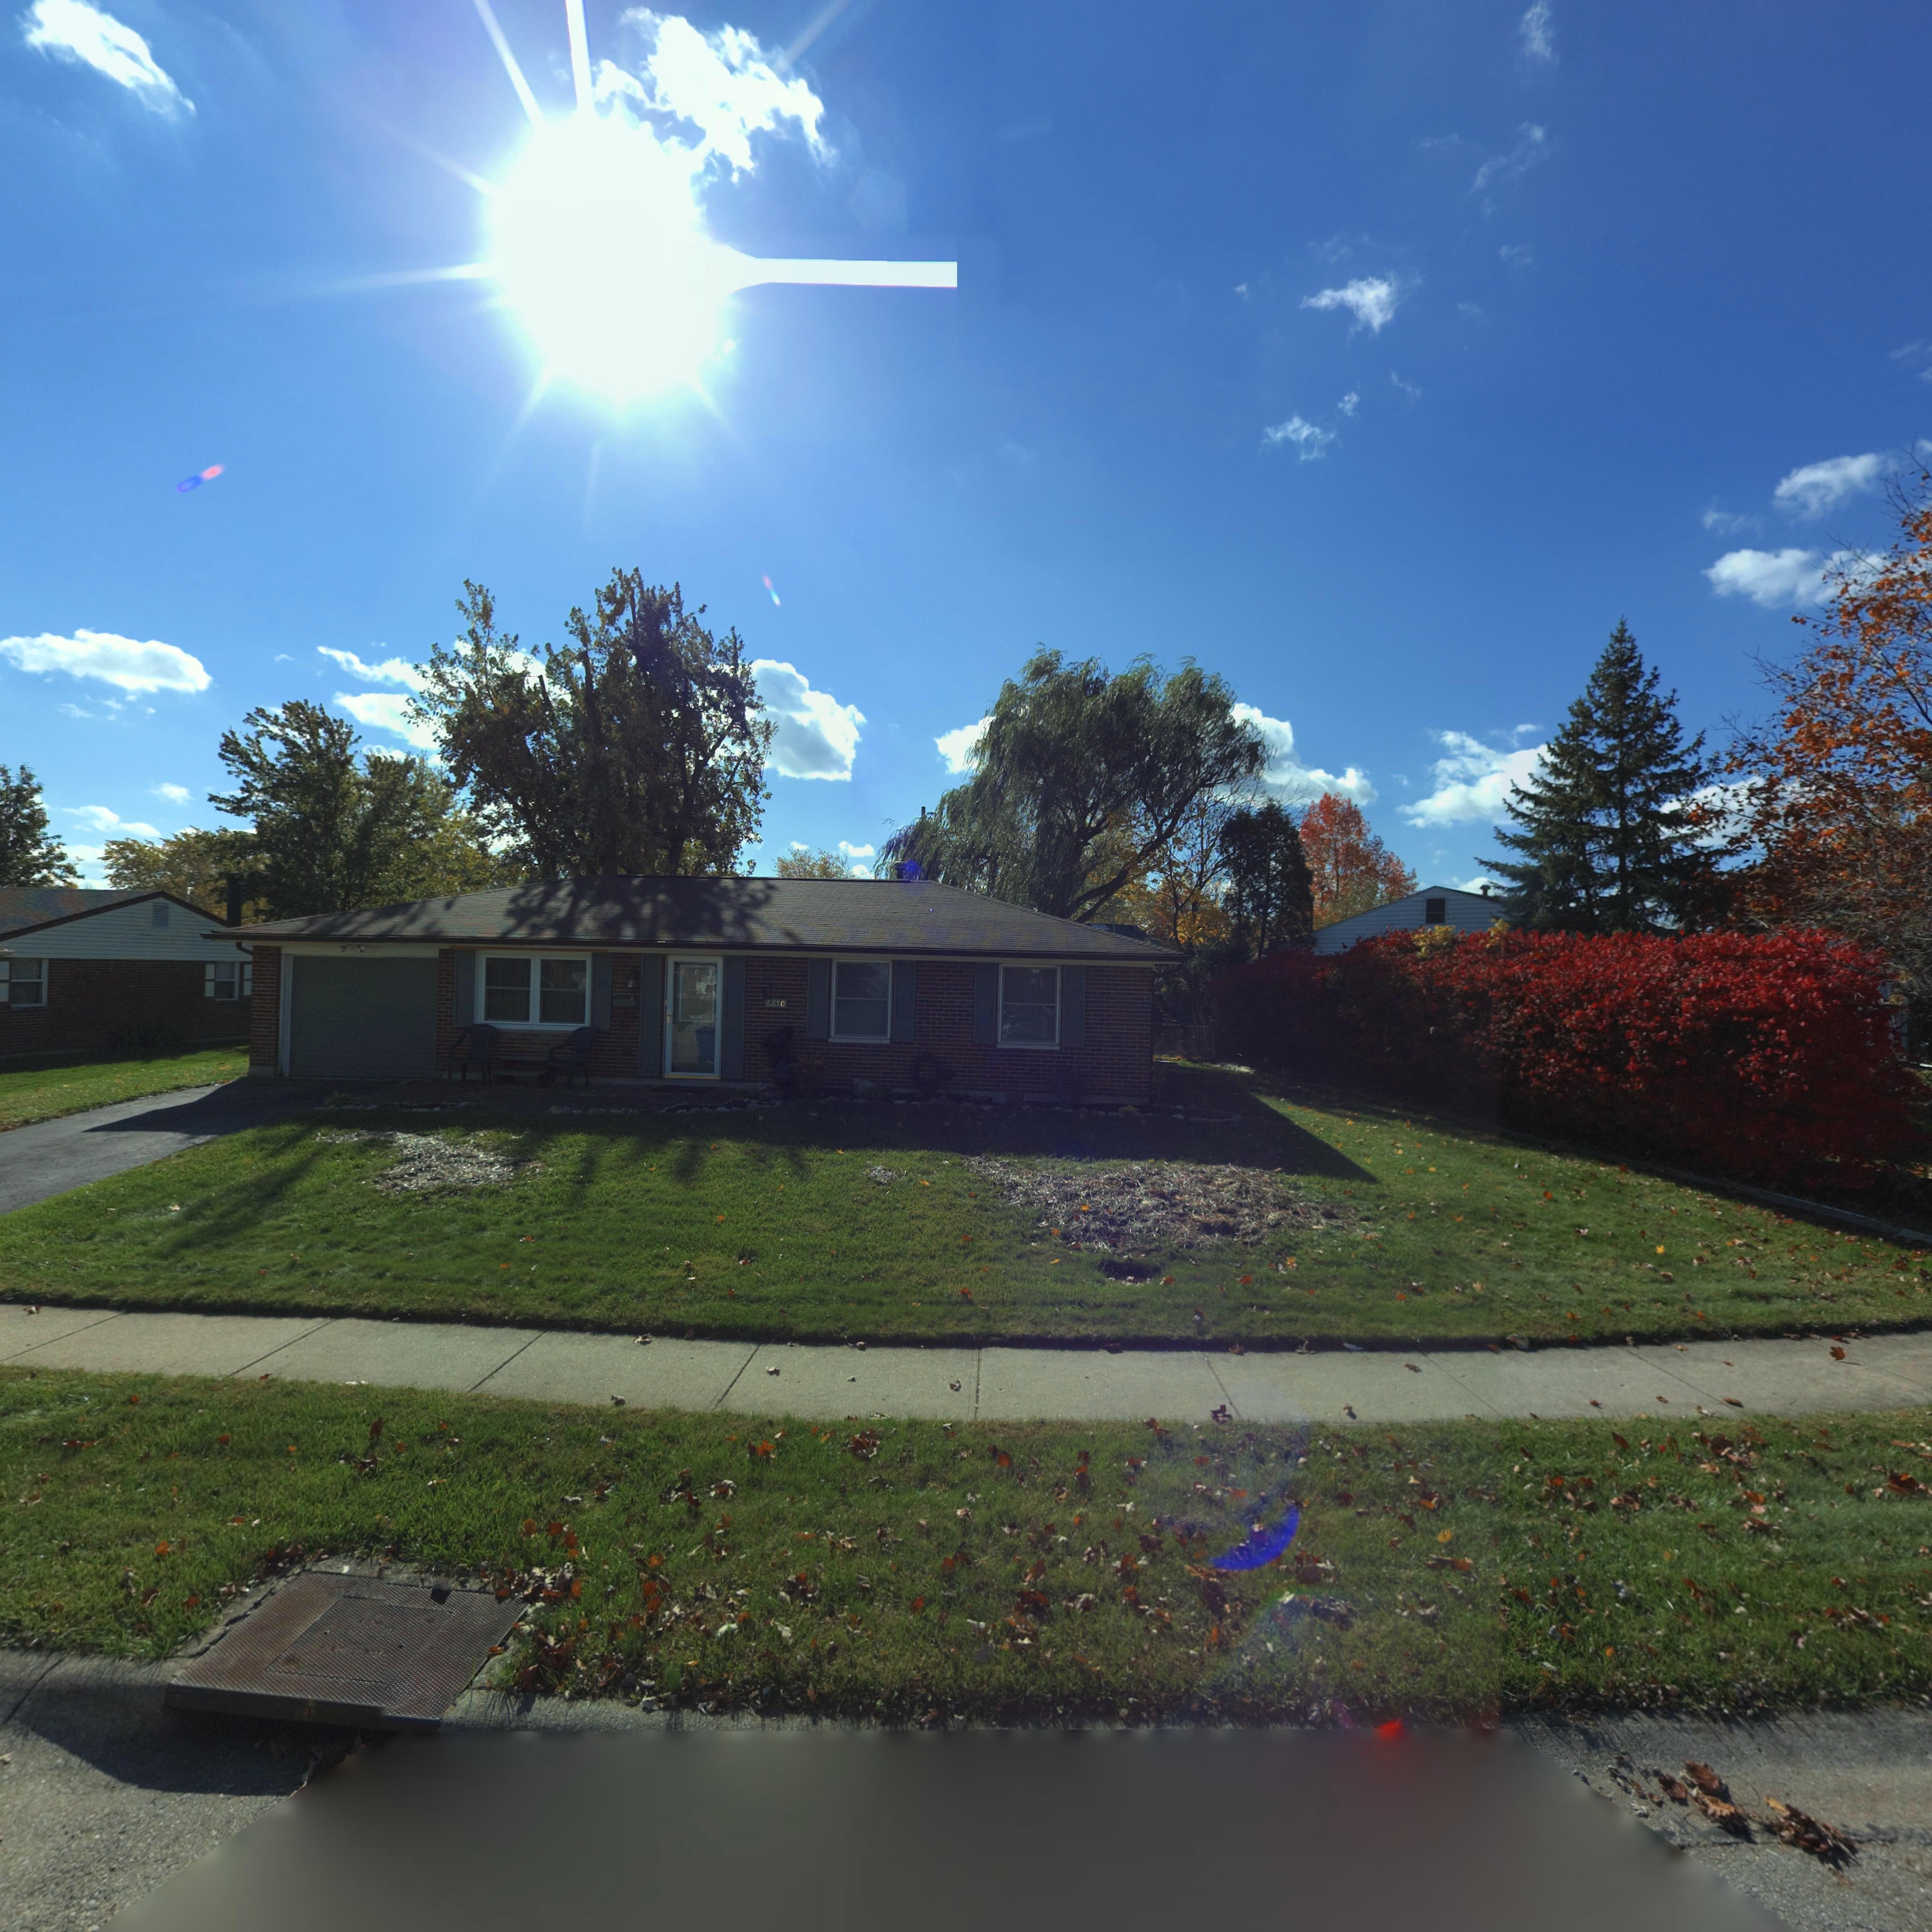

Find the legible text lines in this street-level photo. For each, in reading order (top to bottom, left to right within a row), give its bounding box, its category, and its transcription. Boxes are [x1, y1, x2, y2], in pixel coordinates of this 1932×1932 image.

[766, 999, 786, 1008] StreetNumber: 6670